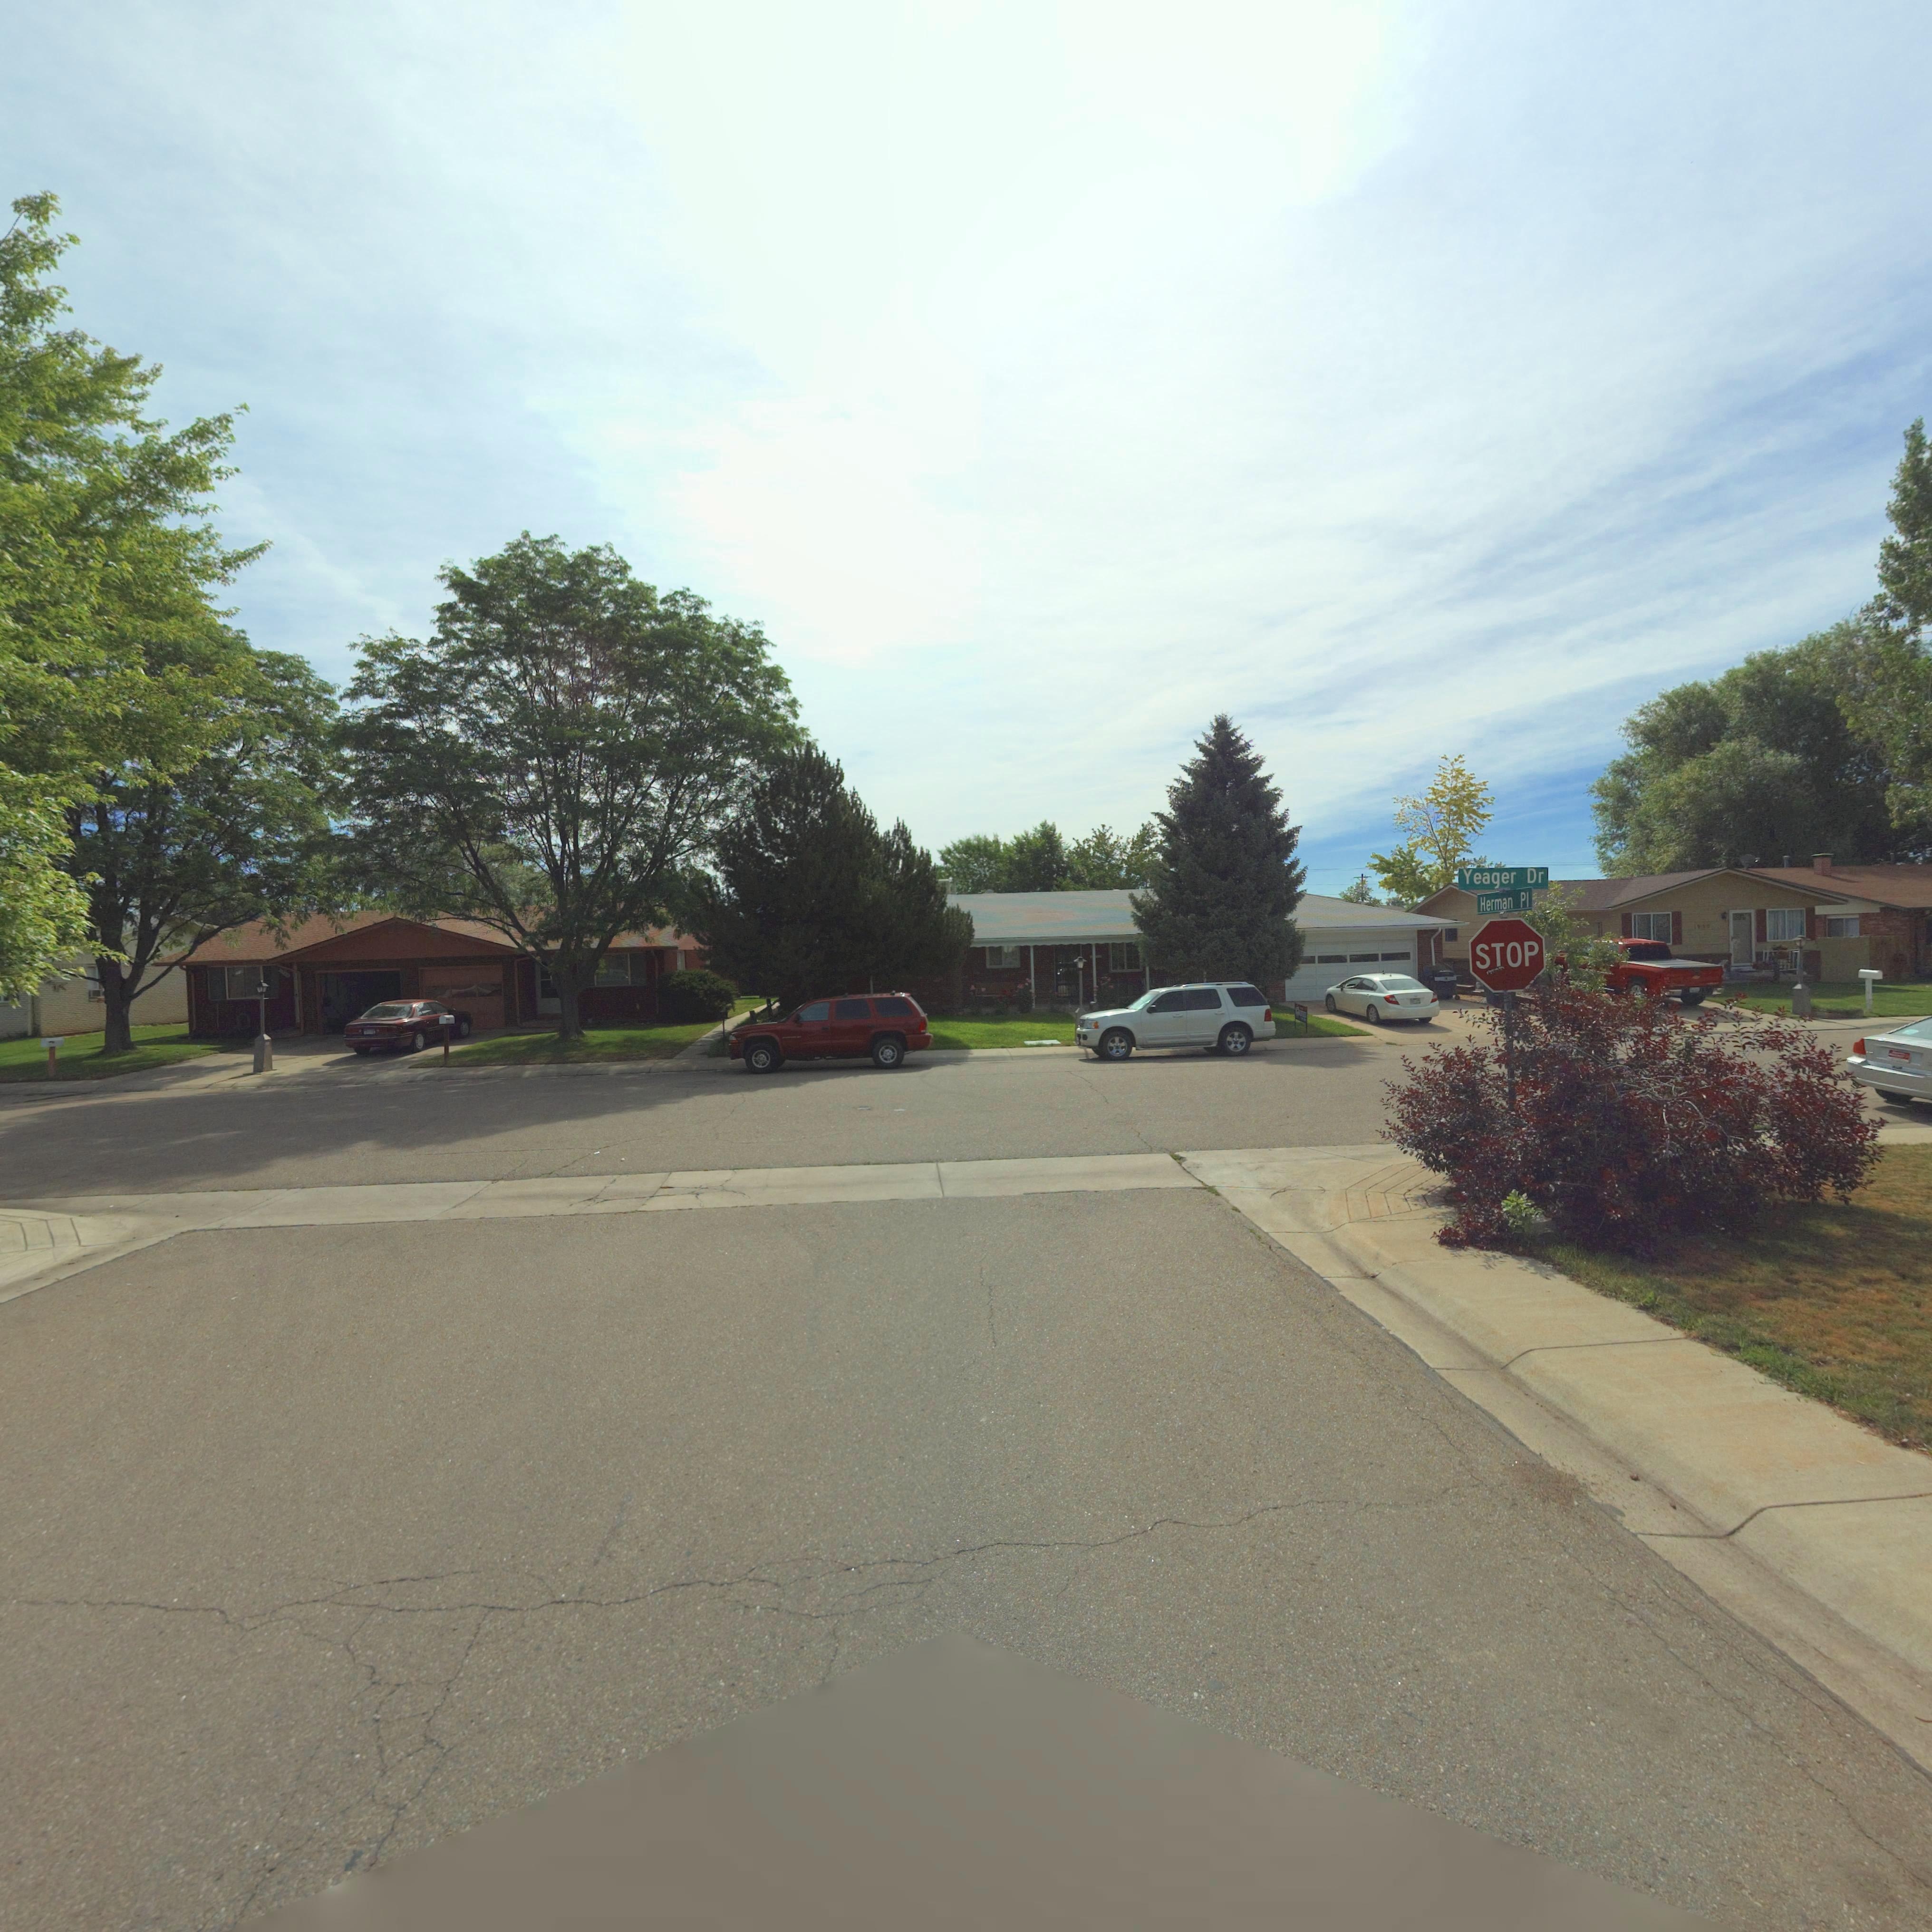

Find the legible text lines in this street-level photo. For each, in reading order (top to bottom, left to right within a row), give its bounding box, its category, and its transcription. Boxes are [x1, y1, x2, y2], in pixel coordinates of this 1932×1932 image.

[1461, 868, 1545, 889] StreetName: Yeager Dr
[1479, 890, 1529, 912] StreetName: Herman Pl
[1693, 924, 1710, 930] StreetNumber: 19*0